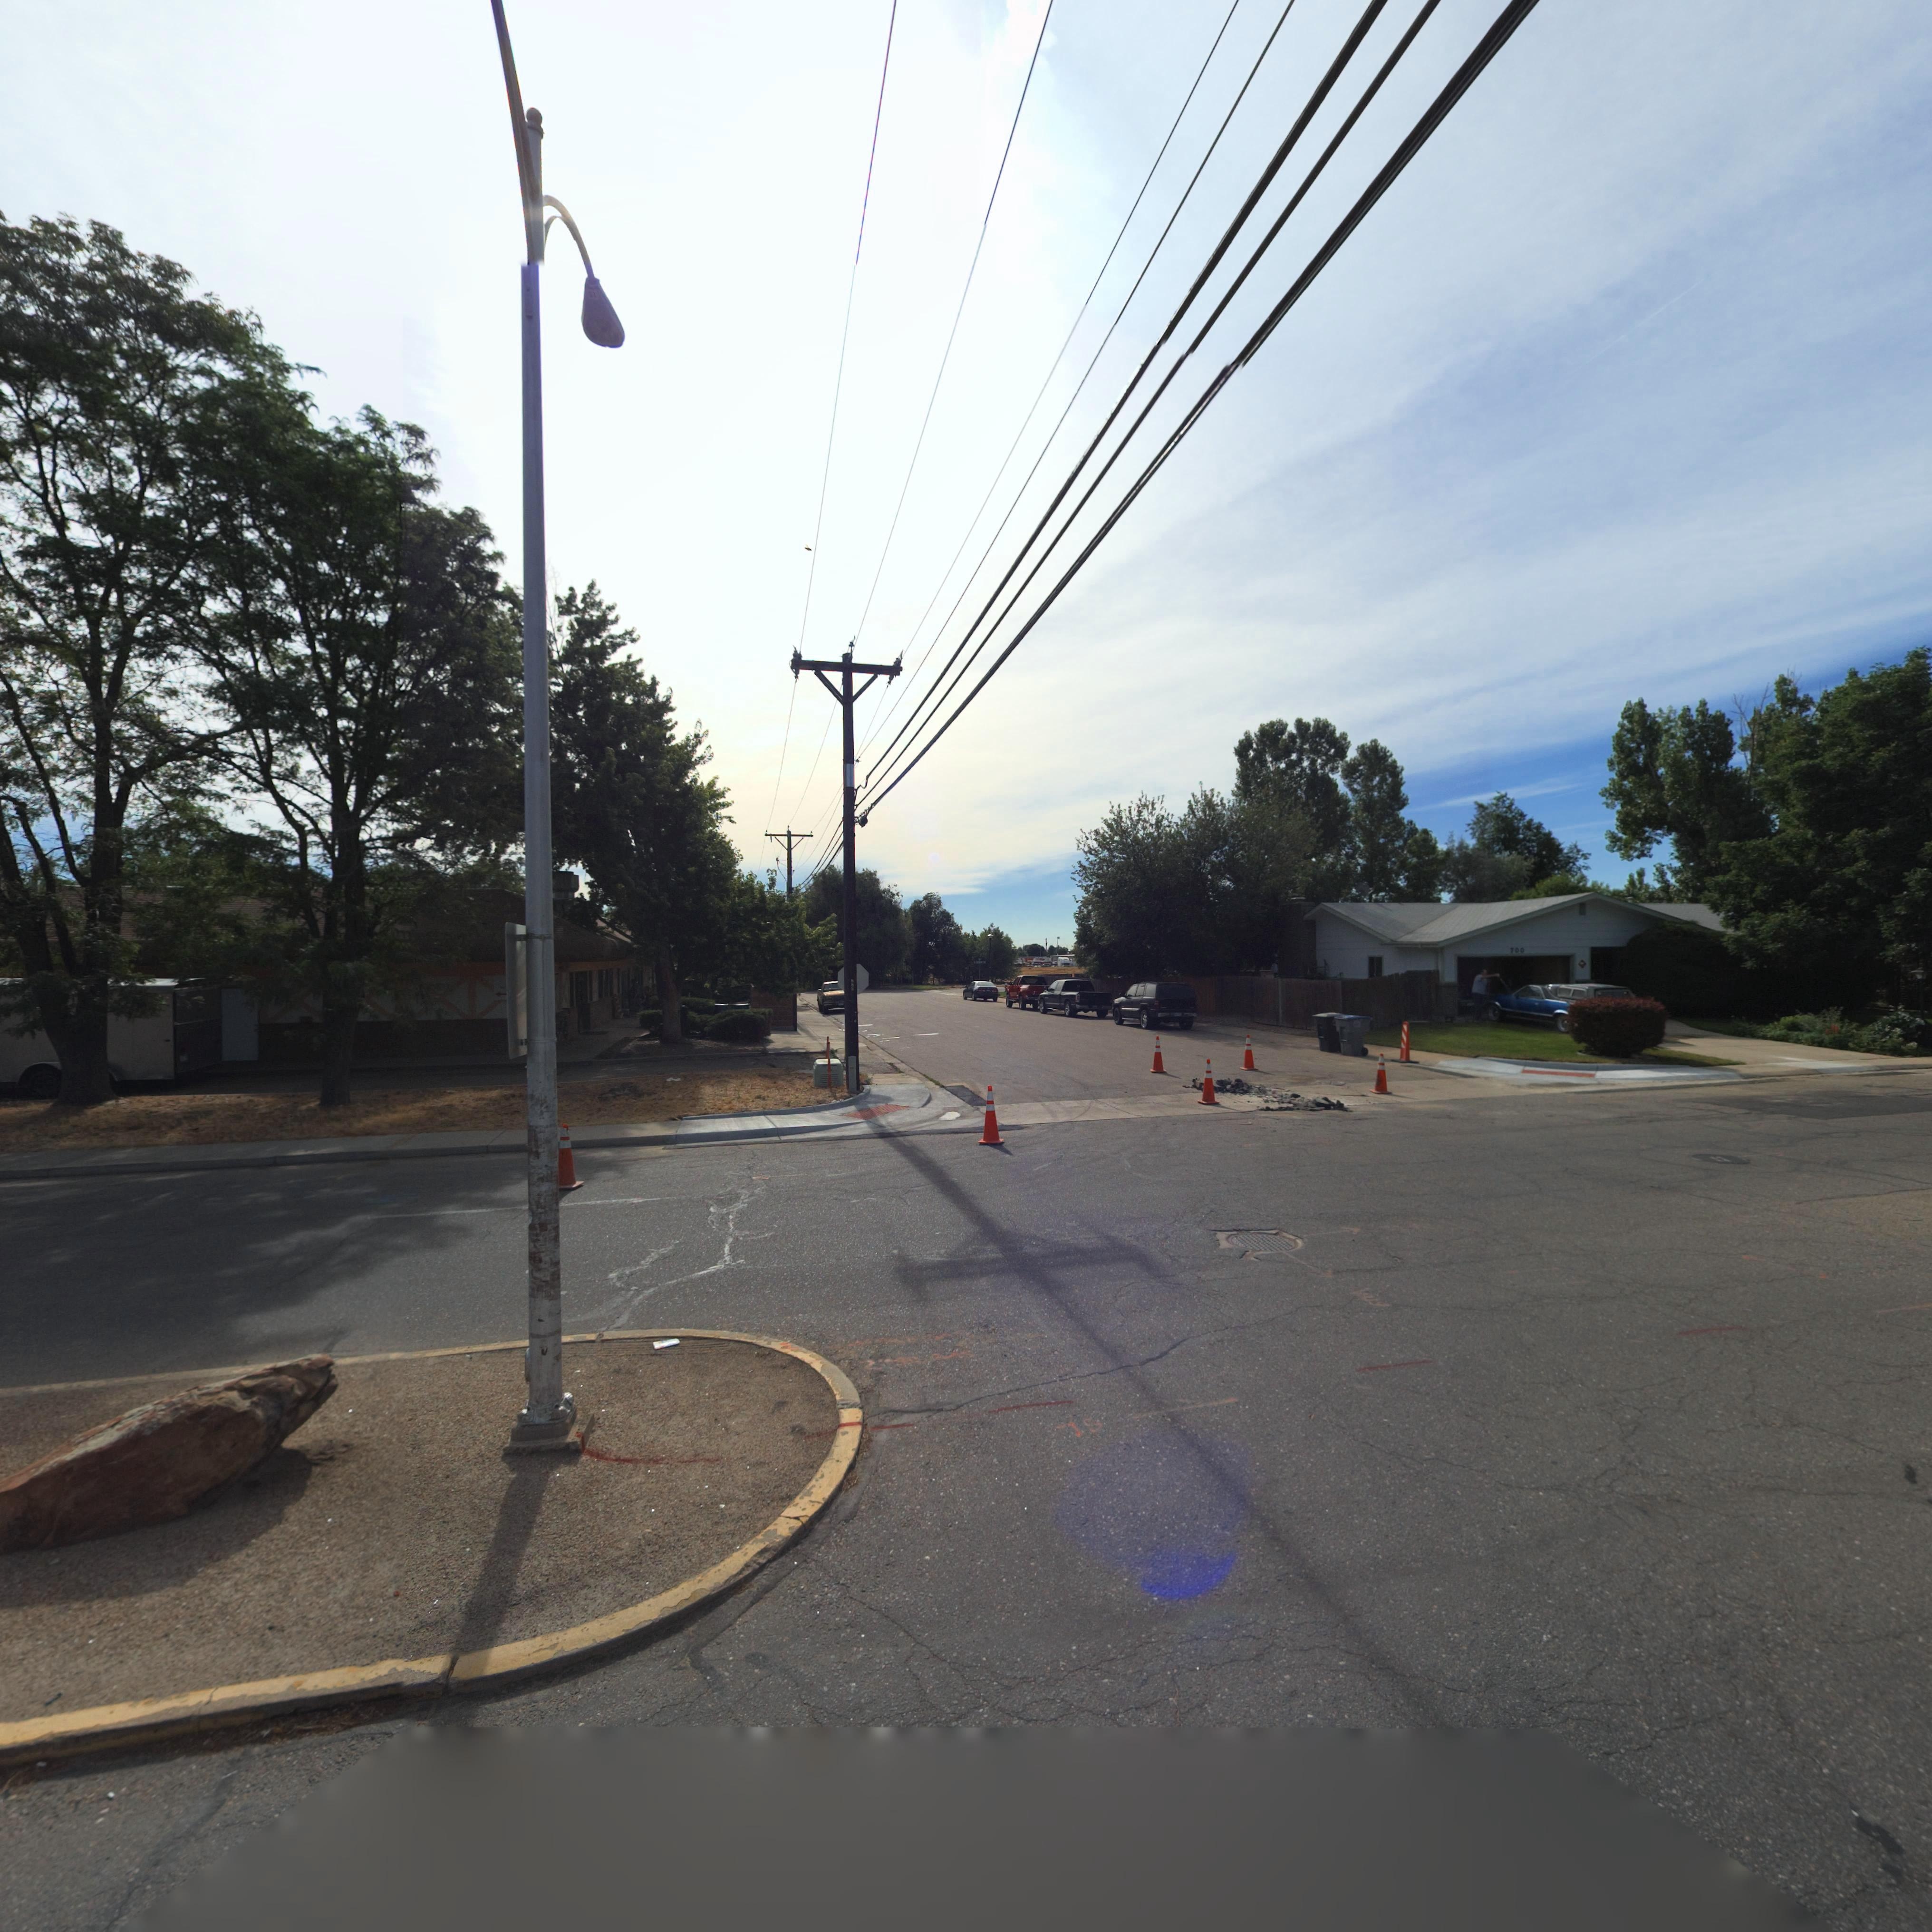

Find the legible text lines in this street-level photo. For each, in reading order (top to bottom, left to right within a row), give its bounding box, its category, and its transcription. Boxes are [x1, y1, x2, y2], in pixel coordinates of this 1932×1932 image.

[1509, 947, 1526, 954] StreetNumber: 700